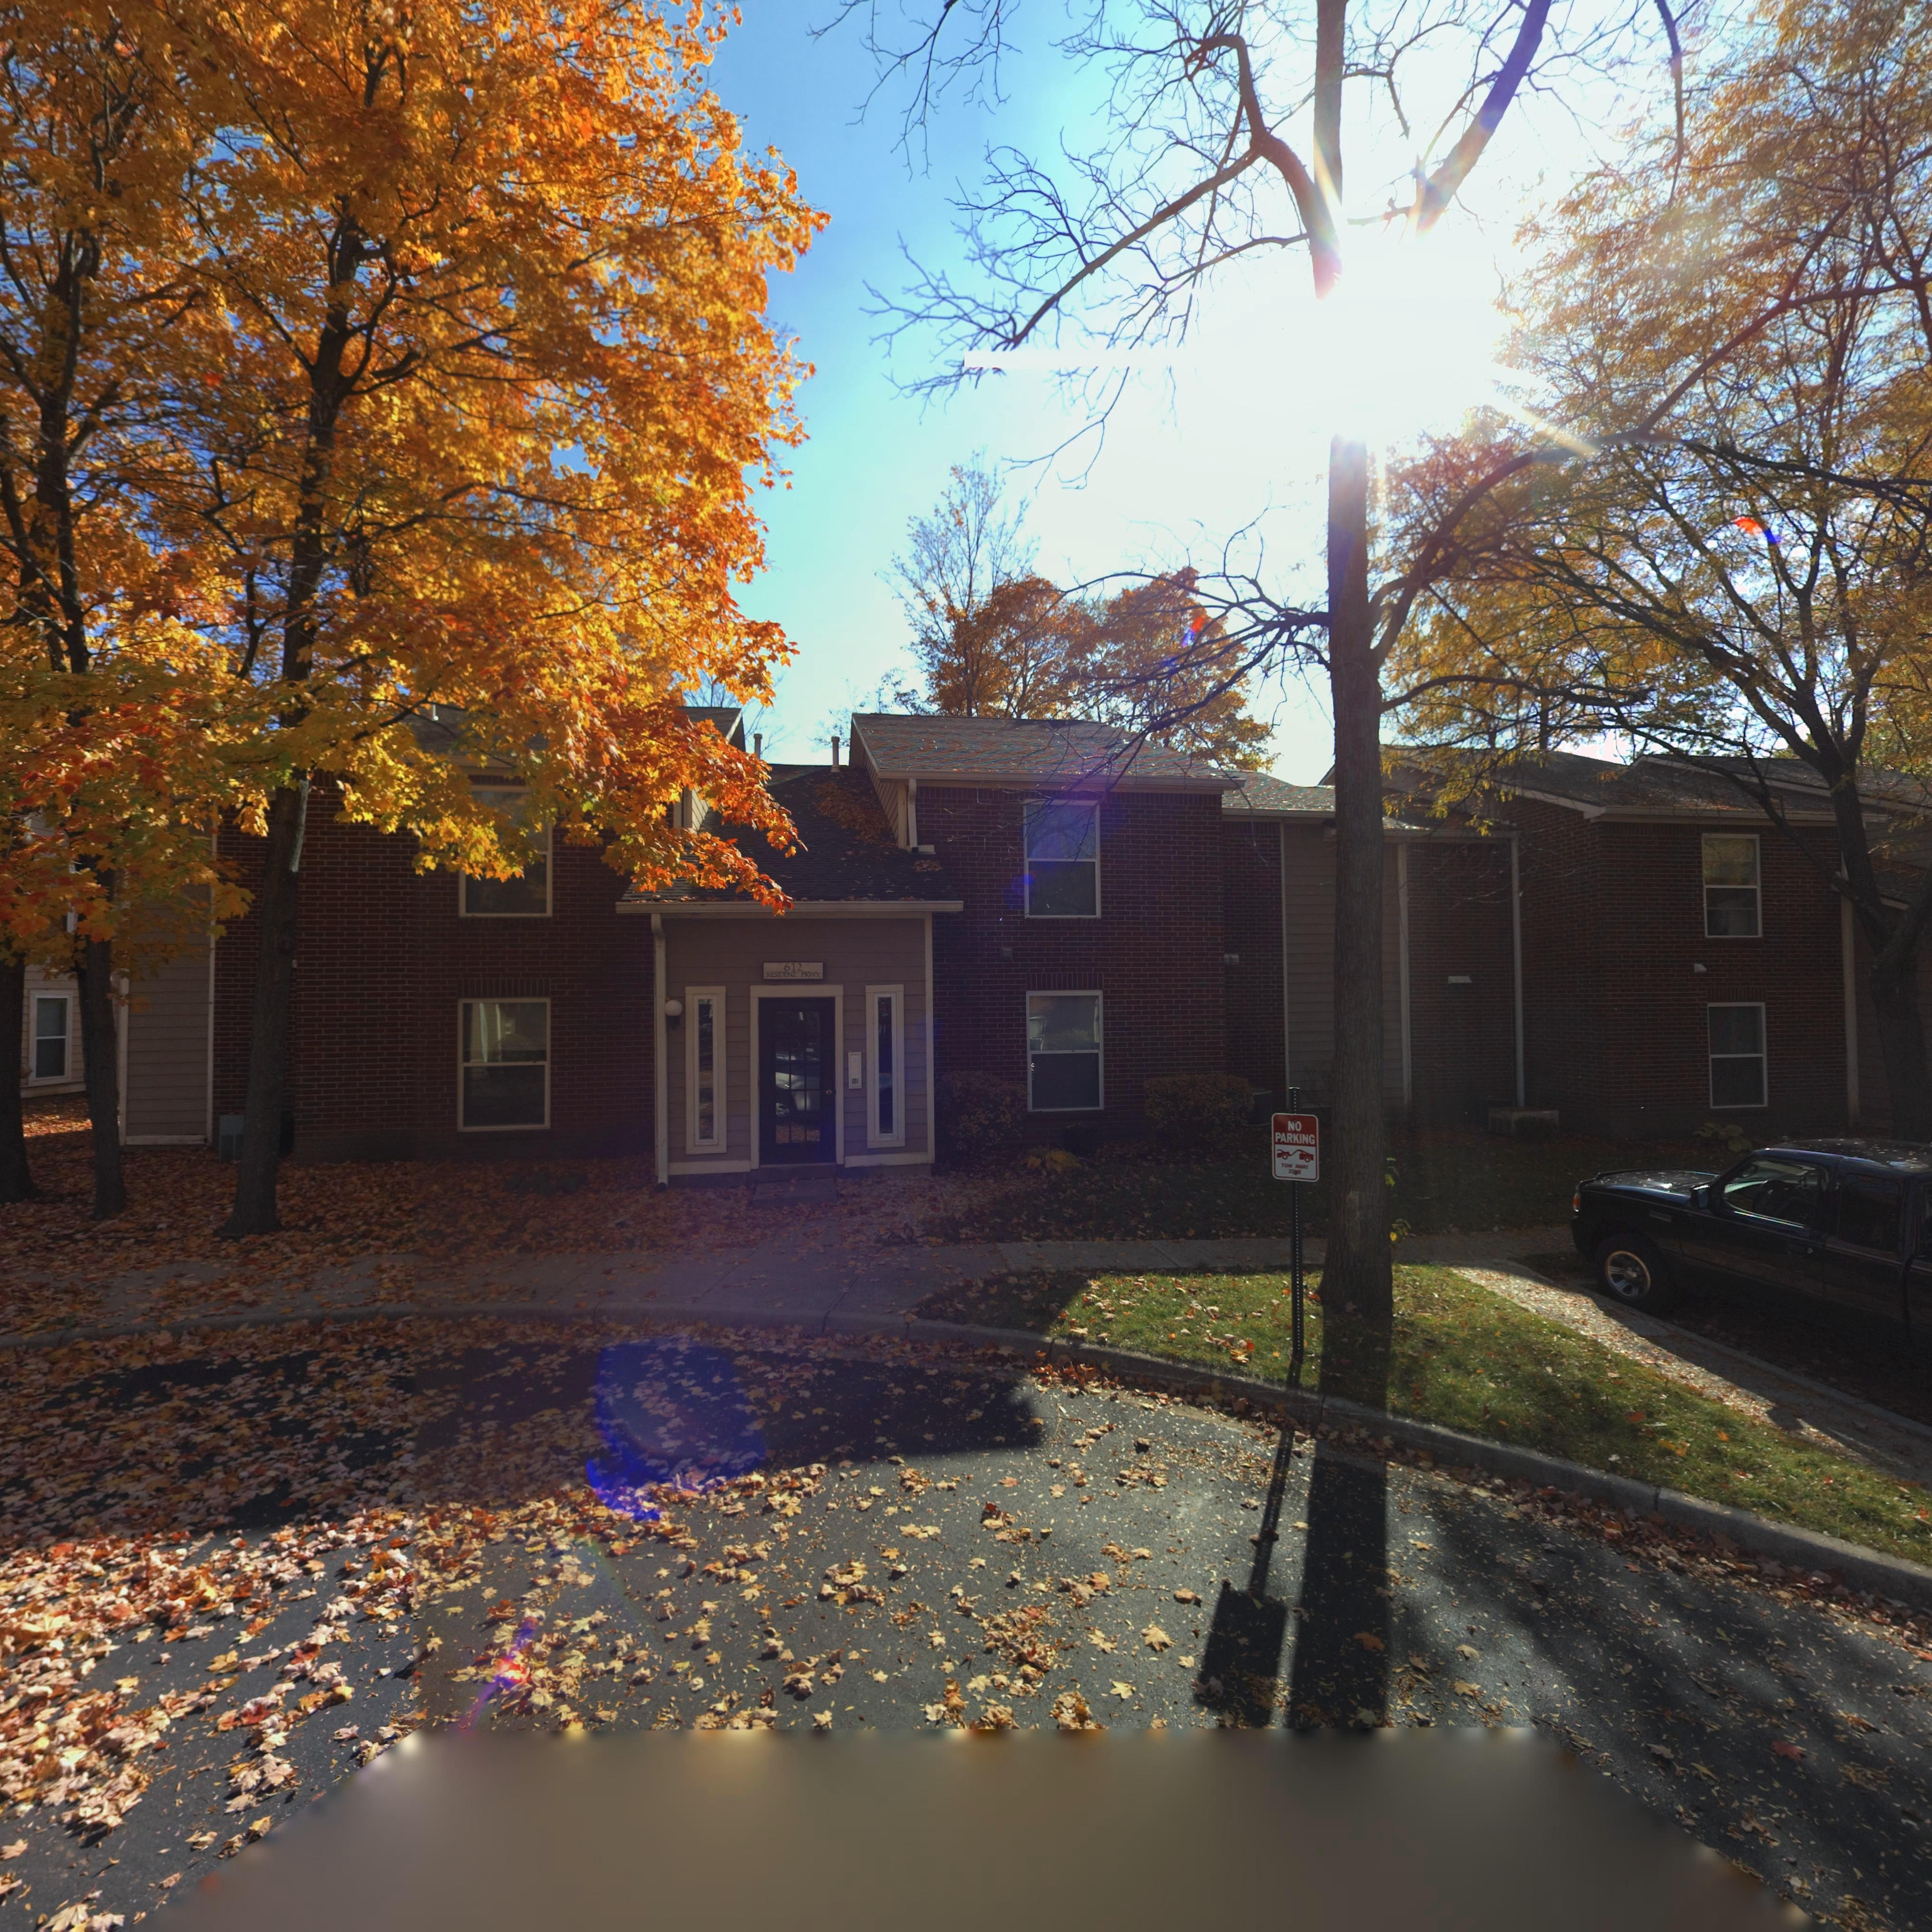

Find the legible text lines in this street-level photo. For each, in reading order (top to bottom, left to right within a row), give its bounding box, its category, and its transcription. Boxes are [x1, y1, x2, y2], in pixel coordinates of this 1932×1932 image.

[783, 962, 803, 972] StreetNumber: 612
[766, 970, 821, 978] StreetName: RESIDENZ PKWY
[1287, 1120, 1303, 1132] None: NO
[1274, 1131, 1316, 1146] None: PARKING
[1287, 1168, 1292, 1175] None: Z
[1280, 1162, 1310, 1170] None: TOW AWAY